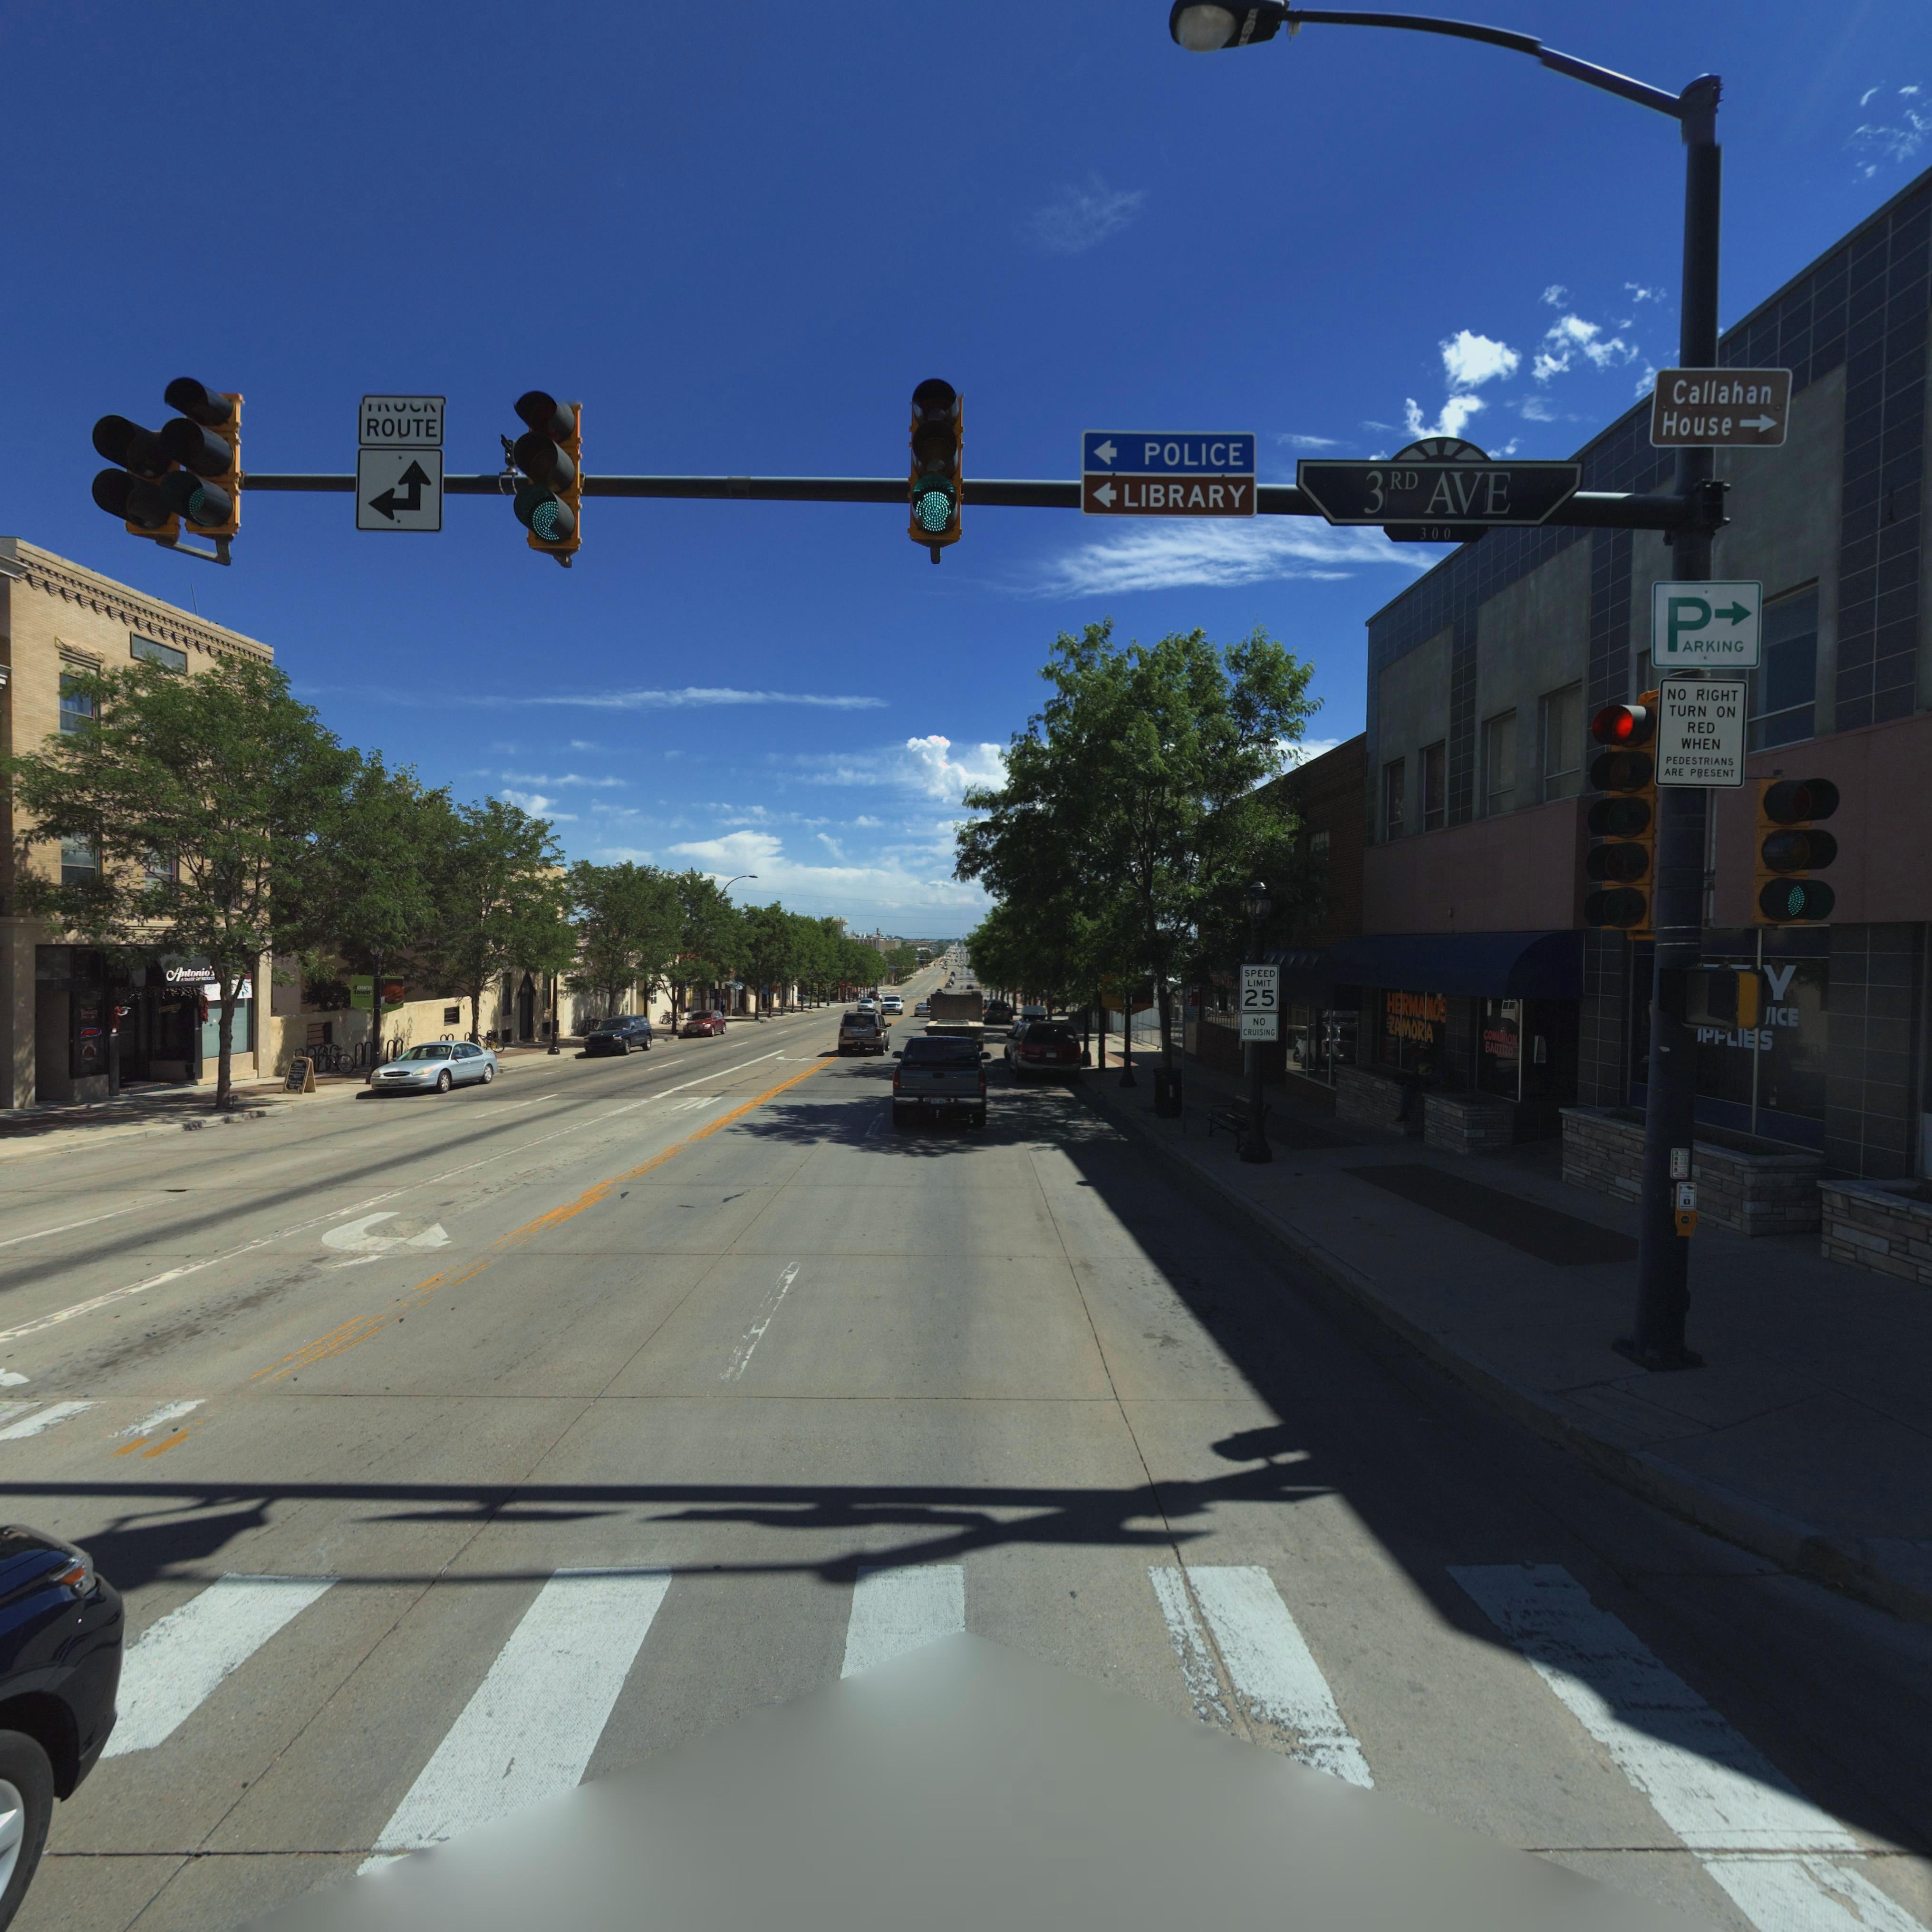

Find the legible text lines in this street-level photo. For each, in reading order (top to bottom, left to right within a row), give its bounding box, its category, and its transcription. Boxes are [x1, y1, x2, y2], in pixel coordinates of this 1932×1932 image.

[1145, 443, 1243, 465] BusinessName: POLICE
[1362, 469, 1512, 515] StreetName: 3RD AVE
[1419, 526, 1450, 540] StreetNumberRange: 300
[165, 965, 215, 983] BusinessName: Antonio's
[1761, 963, 1798, 1002] BusinessName: Y
[1386, 992, 1447, 1024] BusinessName: HERMANOS
[1388, 1014, 1433, 1043] BusinessName: ZAMORA